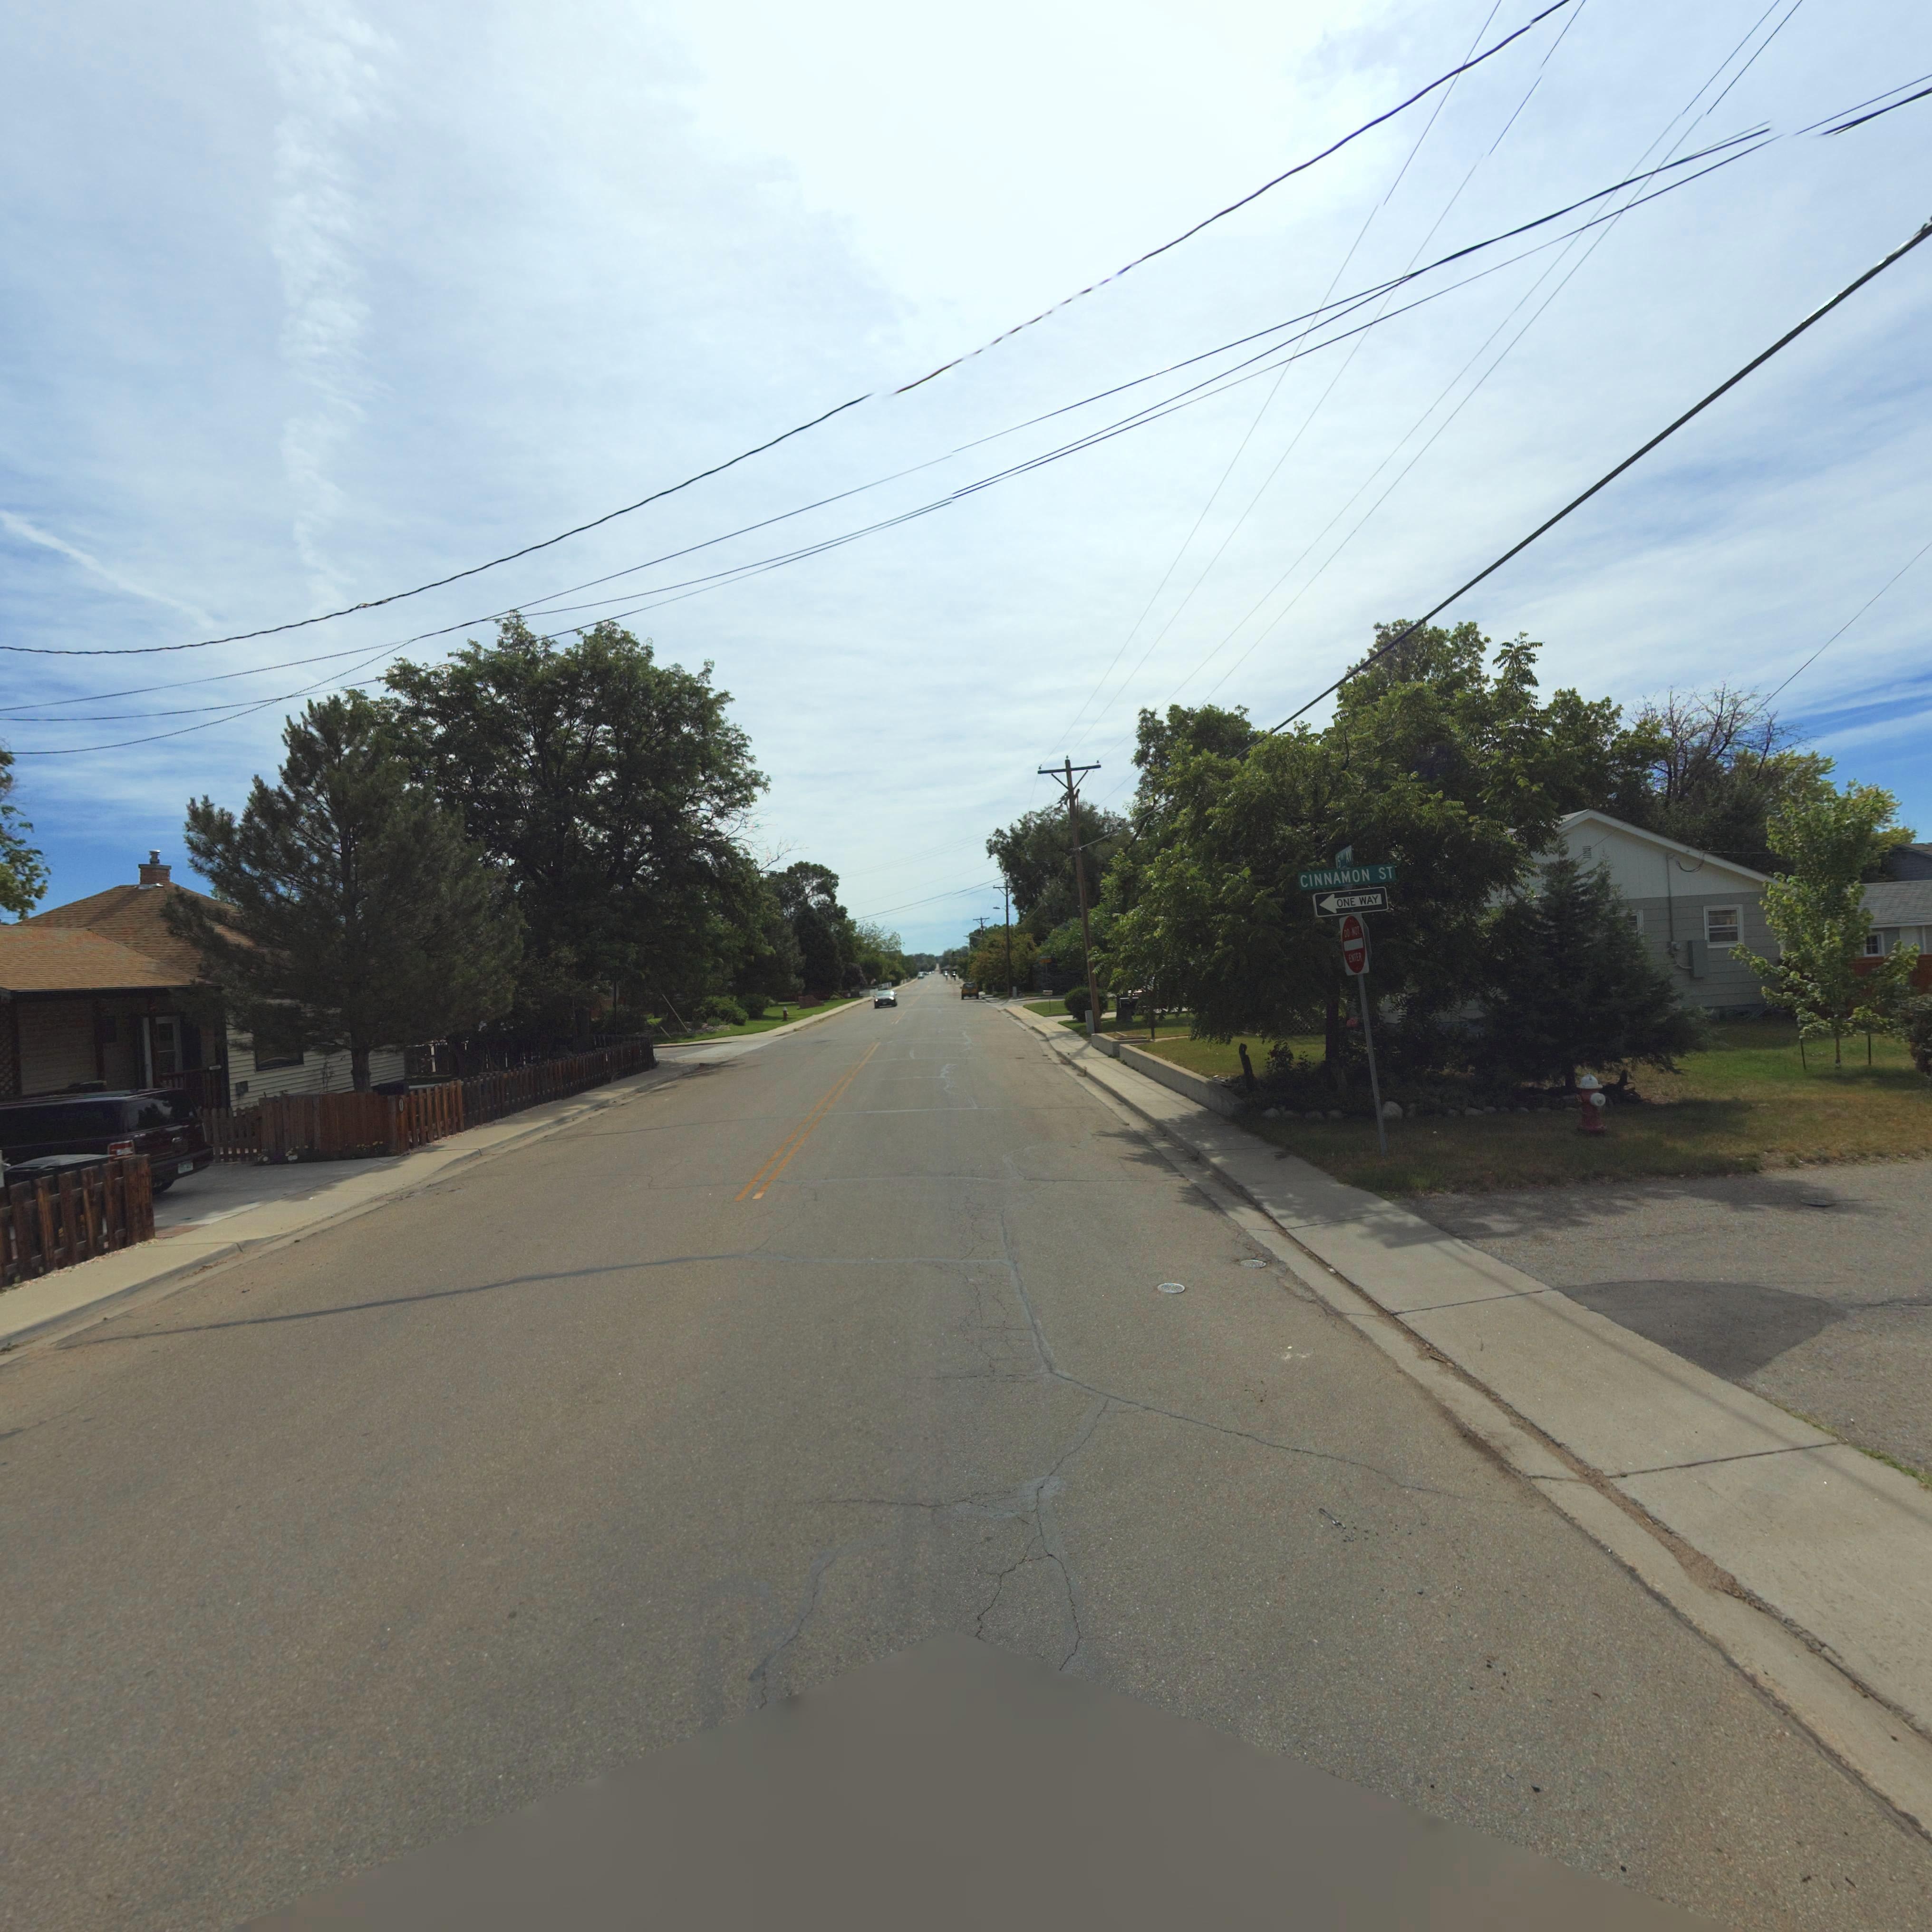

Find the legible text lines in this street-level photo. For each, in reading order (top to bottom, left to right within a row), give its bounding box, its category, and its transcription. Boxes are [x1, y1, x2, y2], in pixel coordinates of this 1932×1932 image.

[1335, 847, 1352, 869] StreetName: 15** AV
[1299, 866, 1393, 888] StreetName: CINNAMON ST